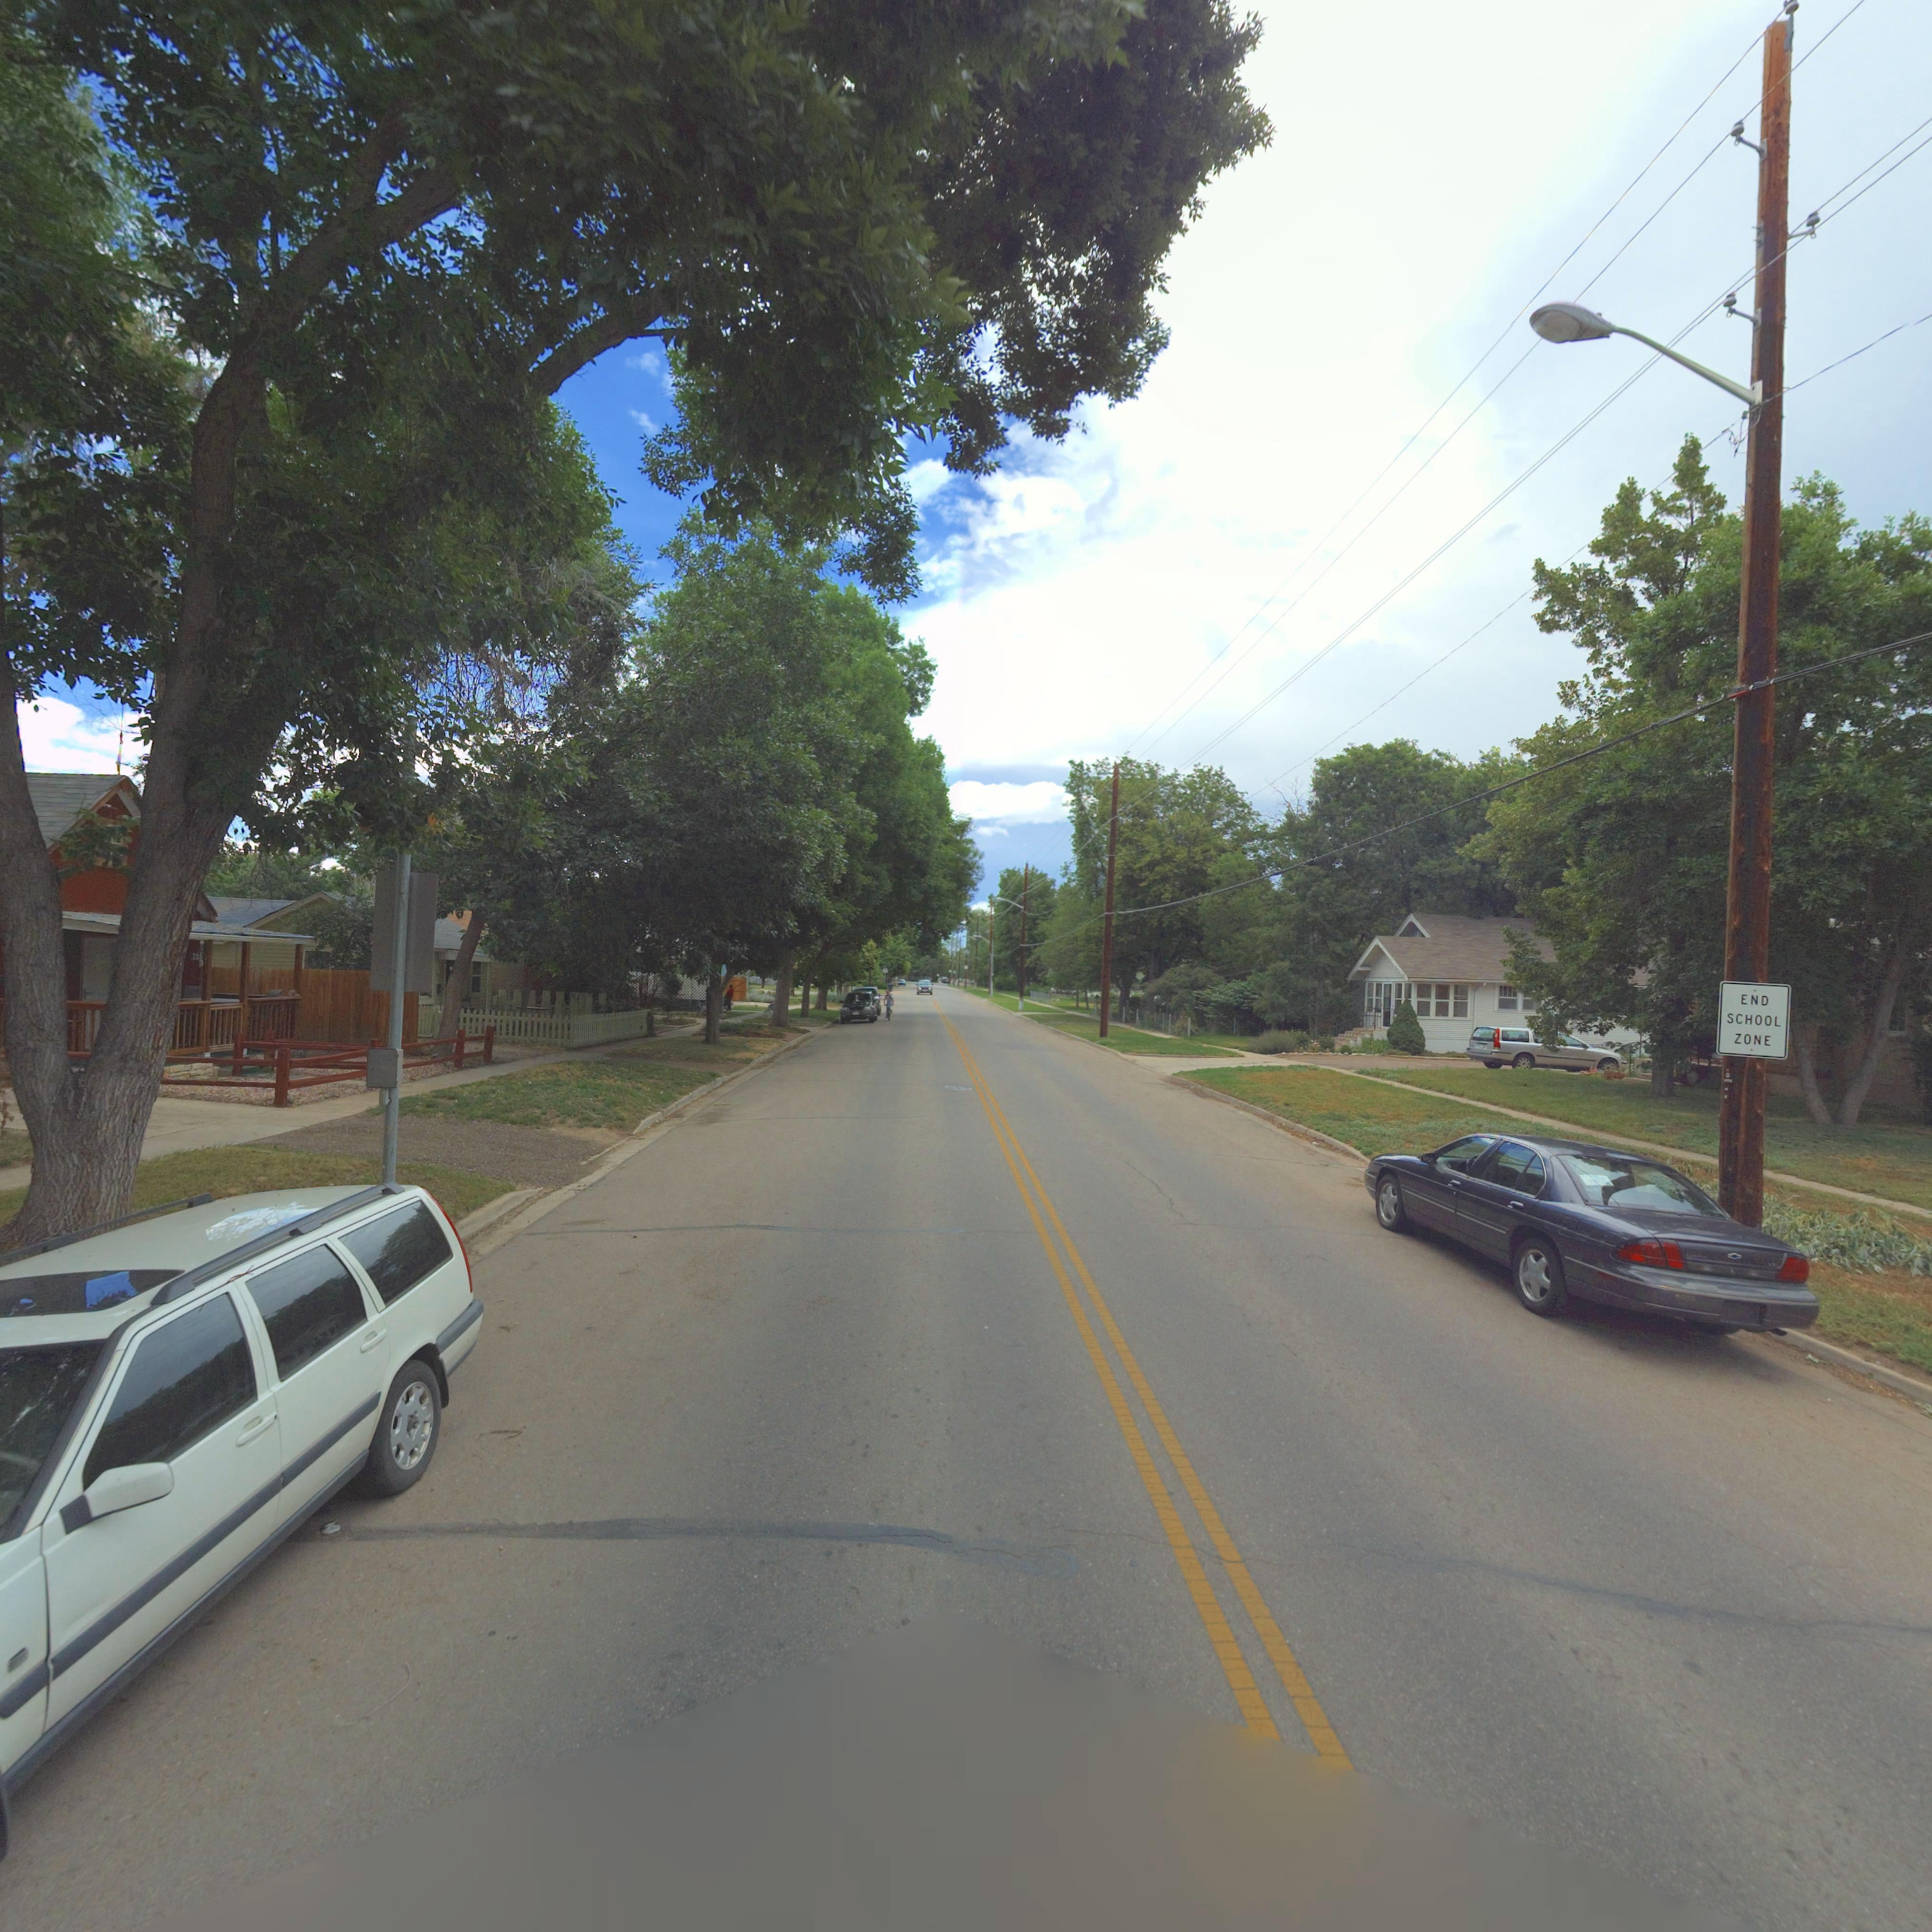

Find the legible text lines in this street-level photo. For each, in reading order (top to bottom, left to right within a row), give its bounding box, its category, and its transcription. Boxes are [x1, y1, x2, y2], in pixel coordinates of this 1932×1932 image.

[192, 953, 202, 960] StreetNumber: 720